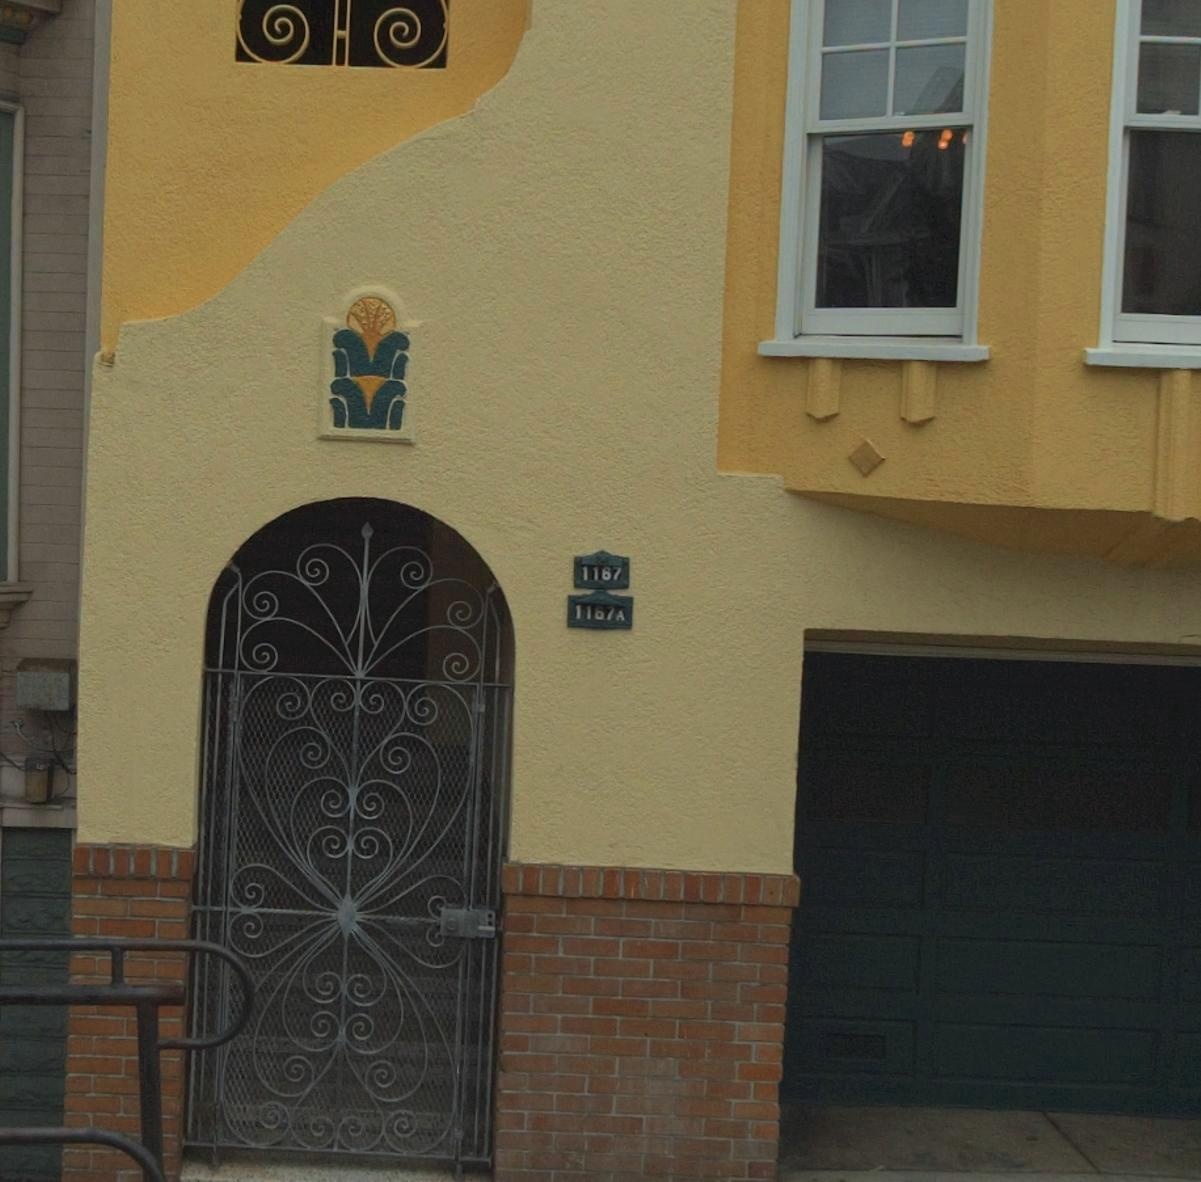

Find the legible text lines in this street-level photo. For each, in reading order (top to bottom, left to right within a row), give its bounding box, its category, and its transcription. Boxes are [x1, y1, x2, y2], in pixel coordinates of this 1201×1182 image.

[581, 565, 623, 582] StreetNumber: 1167
[574, 603, 626, 622] StreetNumber: 1167A